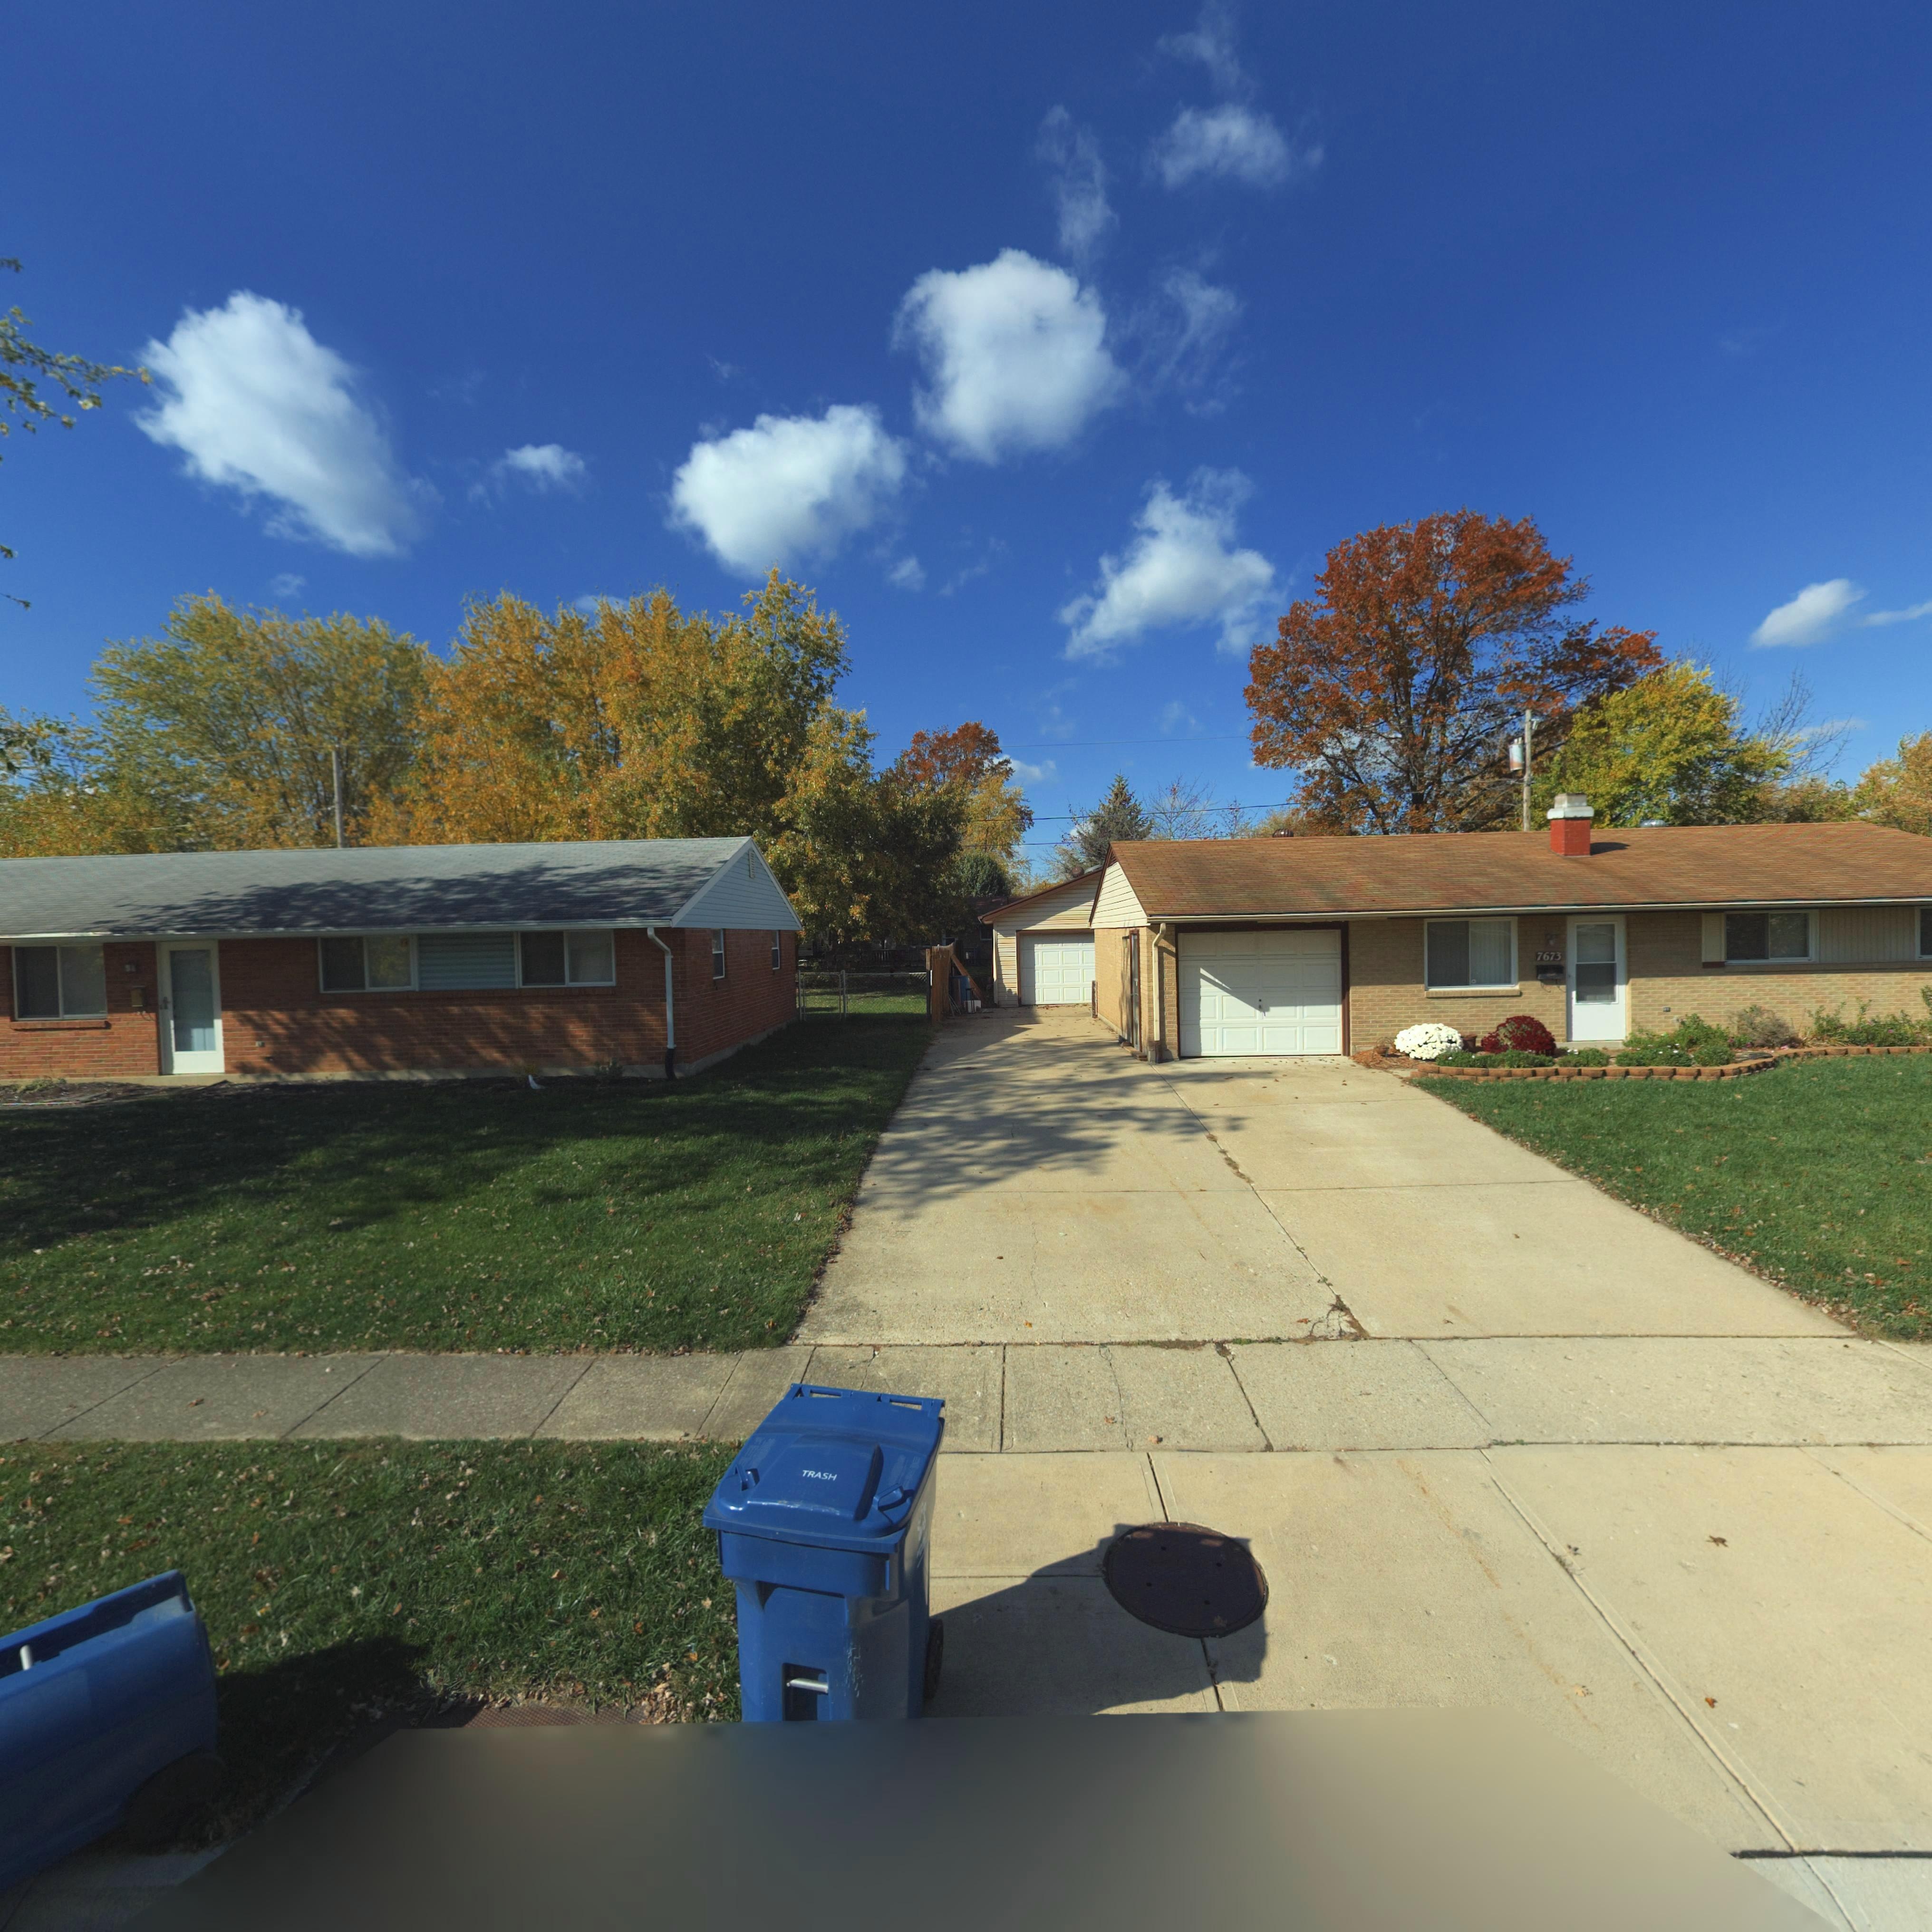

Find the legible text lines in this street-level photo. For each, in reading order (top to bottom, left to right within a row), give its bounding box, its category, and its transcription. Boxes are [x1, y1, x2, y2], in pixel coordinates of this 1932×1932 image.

[1536, 950, 1563, 962] StreetNumber: 7673